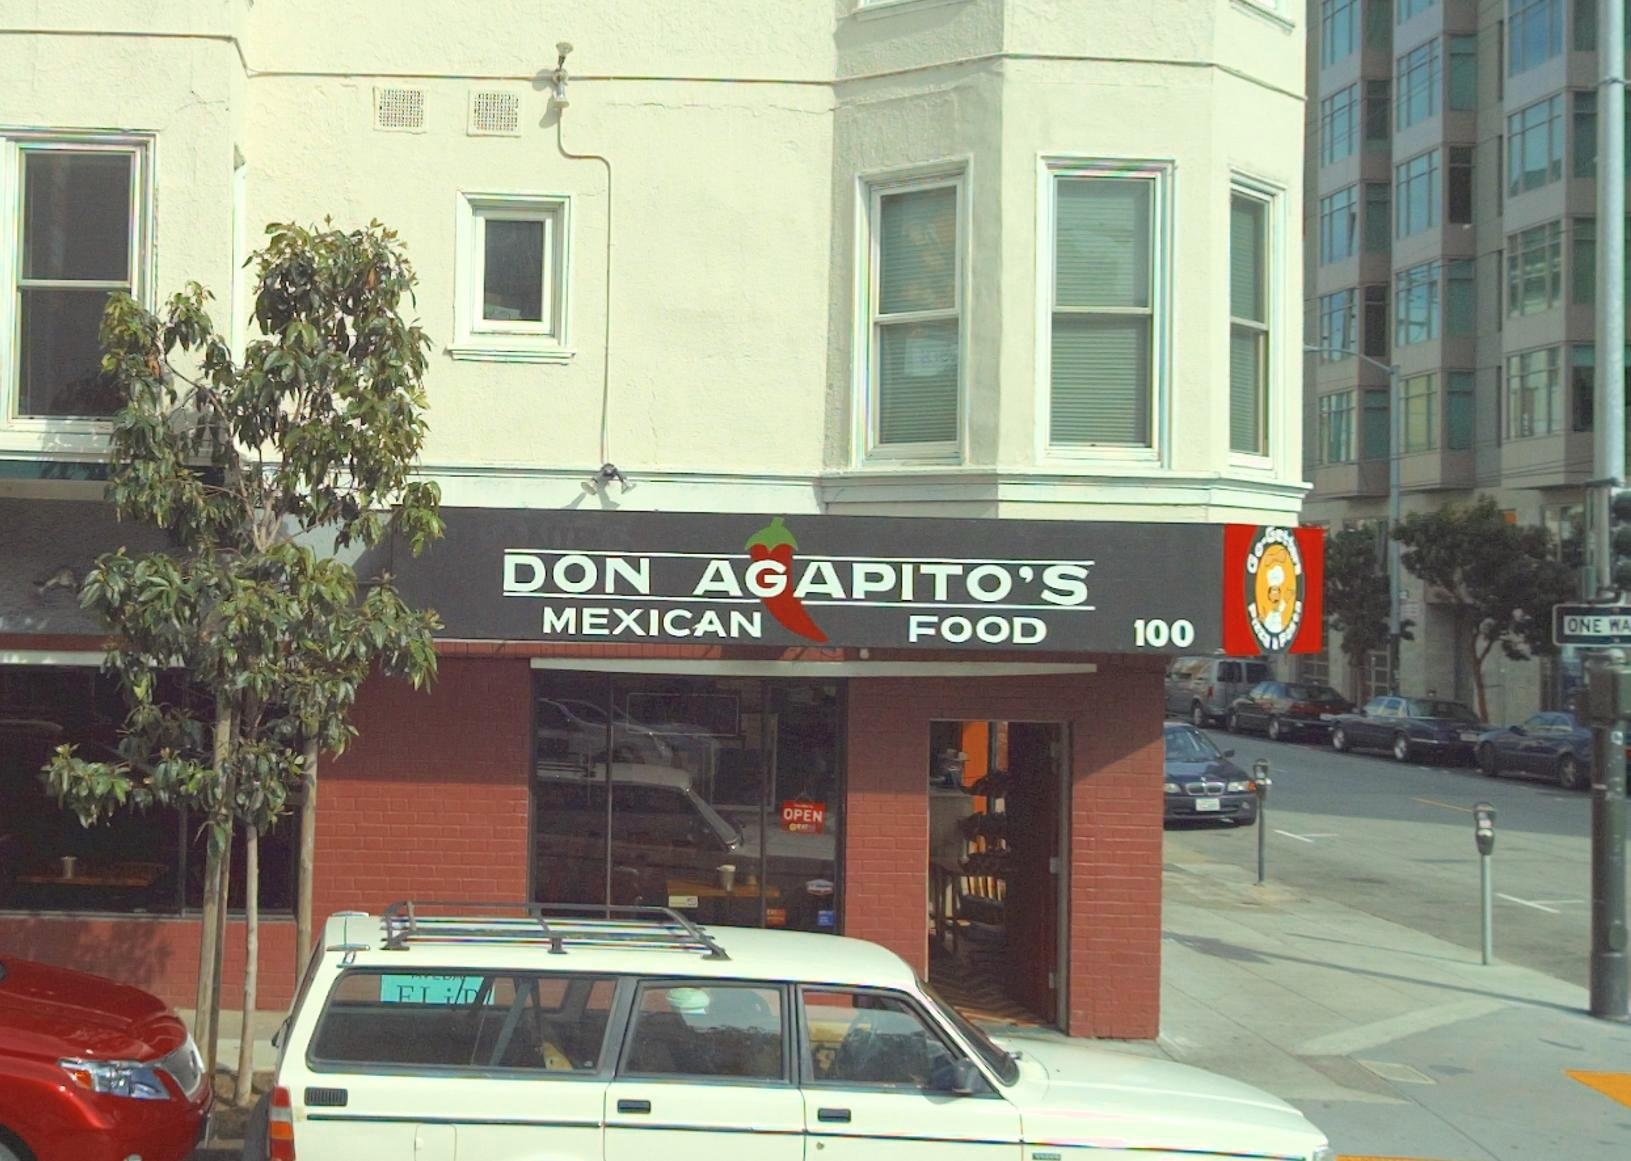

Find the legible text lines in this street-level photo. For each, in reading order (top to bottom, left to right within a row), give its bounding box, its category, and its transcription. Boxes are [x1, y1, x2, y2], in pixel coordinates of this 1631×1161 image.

[1243, 538, 1268, 577] BusinessName: Go
[500, 551, 1093, 607] BusinessName: DON AGAPITO'S
[539, 603, 765, 641] None: MEXICAN
[906, 612, 1050, 646] None: FOOD
[1130, 616, 1198, 649] StreetNumber: 100
[1564, 615, 1631, 635] None: ONE WA
[780, 806, 824, 826] None: OPEN